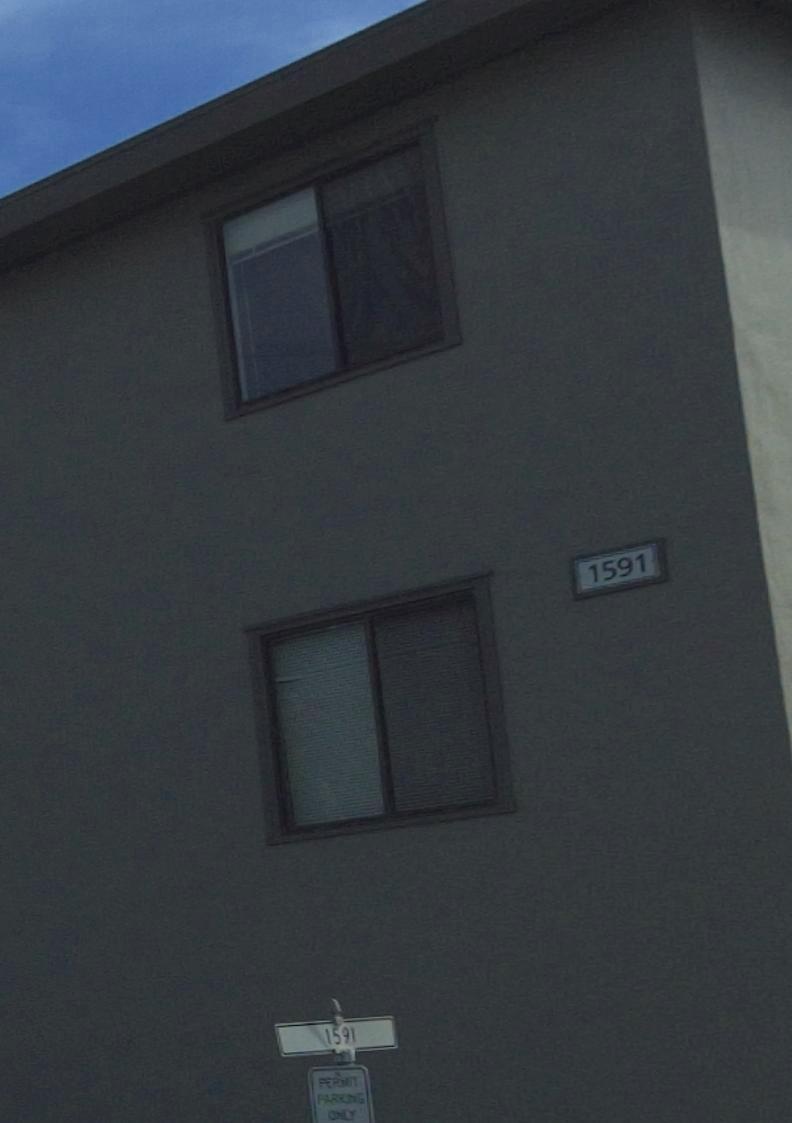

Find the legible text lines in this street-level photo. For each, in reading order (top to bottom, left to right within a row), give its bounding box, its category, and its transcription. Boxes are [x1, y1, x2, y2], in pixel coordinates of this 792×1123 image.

[584, 549, 650, 587] StreetNumber: 1591
[321, 1023, 359, 1049] StreetNumber: 1591
[316, 1072, 362, 1093] None: PER**T
[314, 1090, 368, 1108] None: PARKING
[325, 1107, 359, 1122] None: O**Y